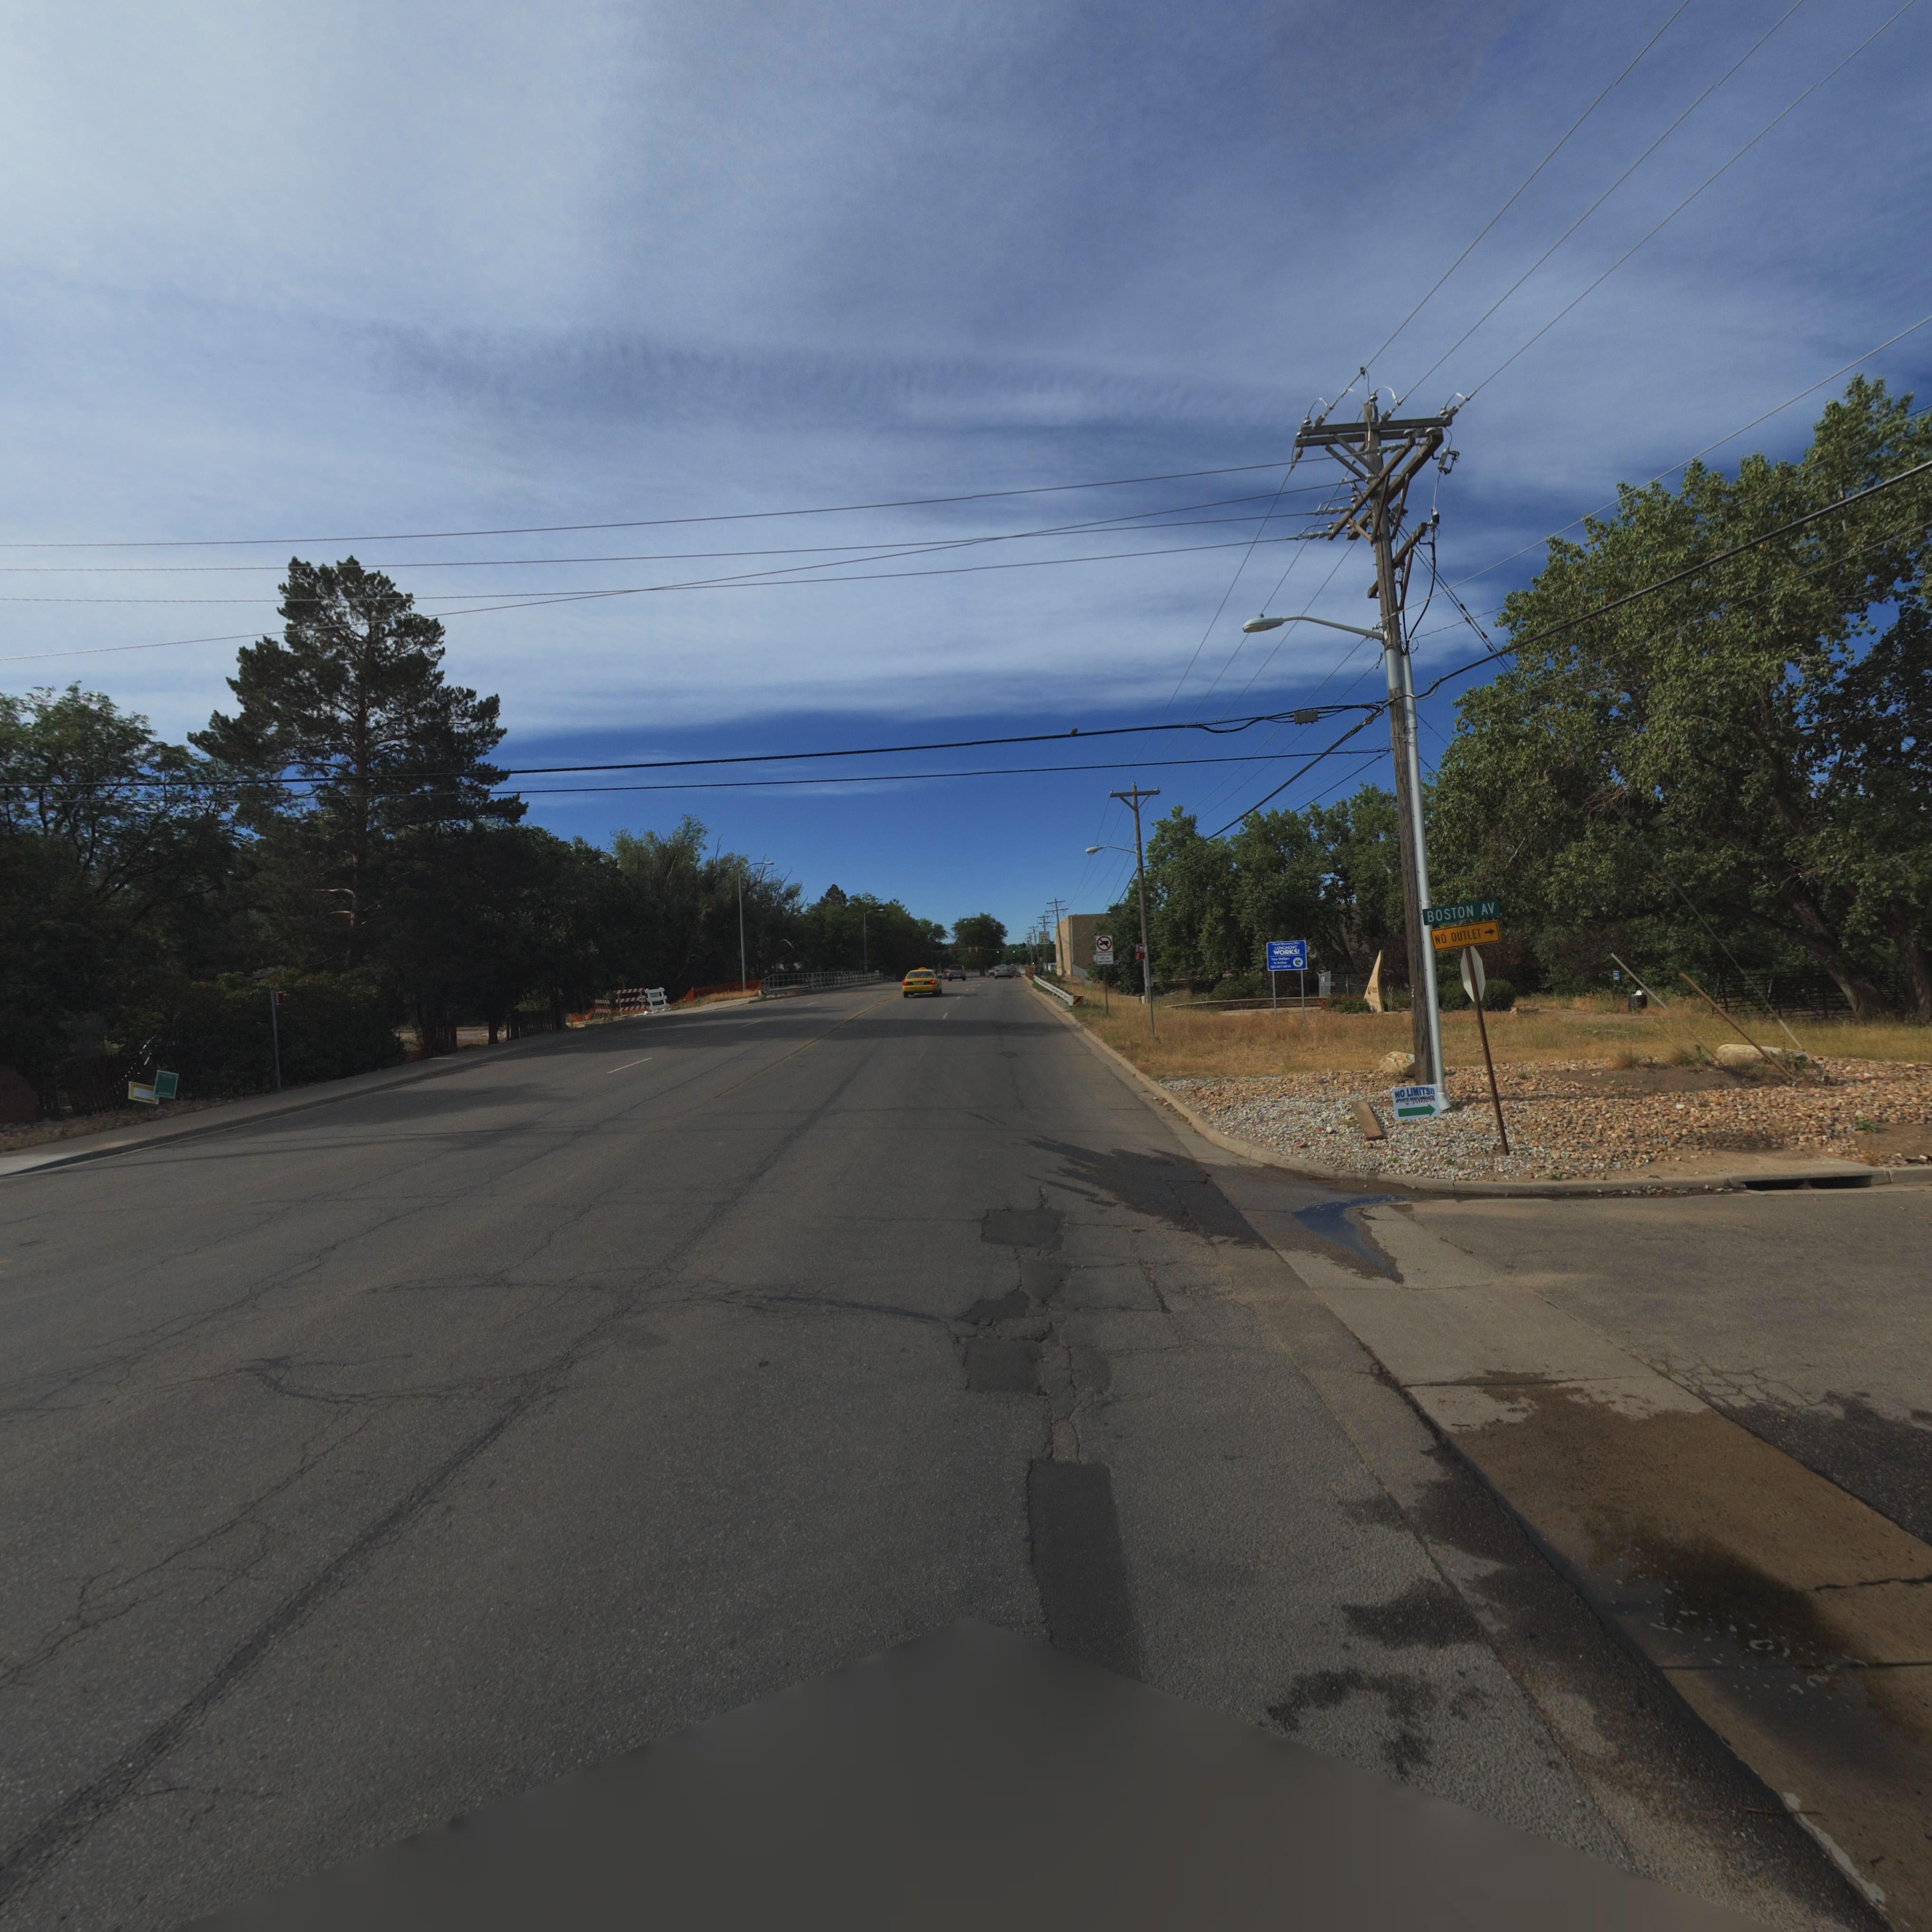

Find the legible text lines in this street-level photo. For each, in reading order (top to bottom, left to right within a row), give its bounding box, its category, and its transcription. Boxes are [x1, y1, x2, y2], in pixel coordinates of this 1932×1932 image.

[1426, 901, 1495, 923] StreetName: BOSTON AV